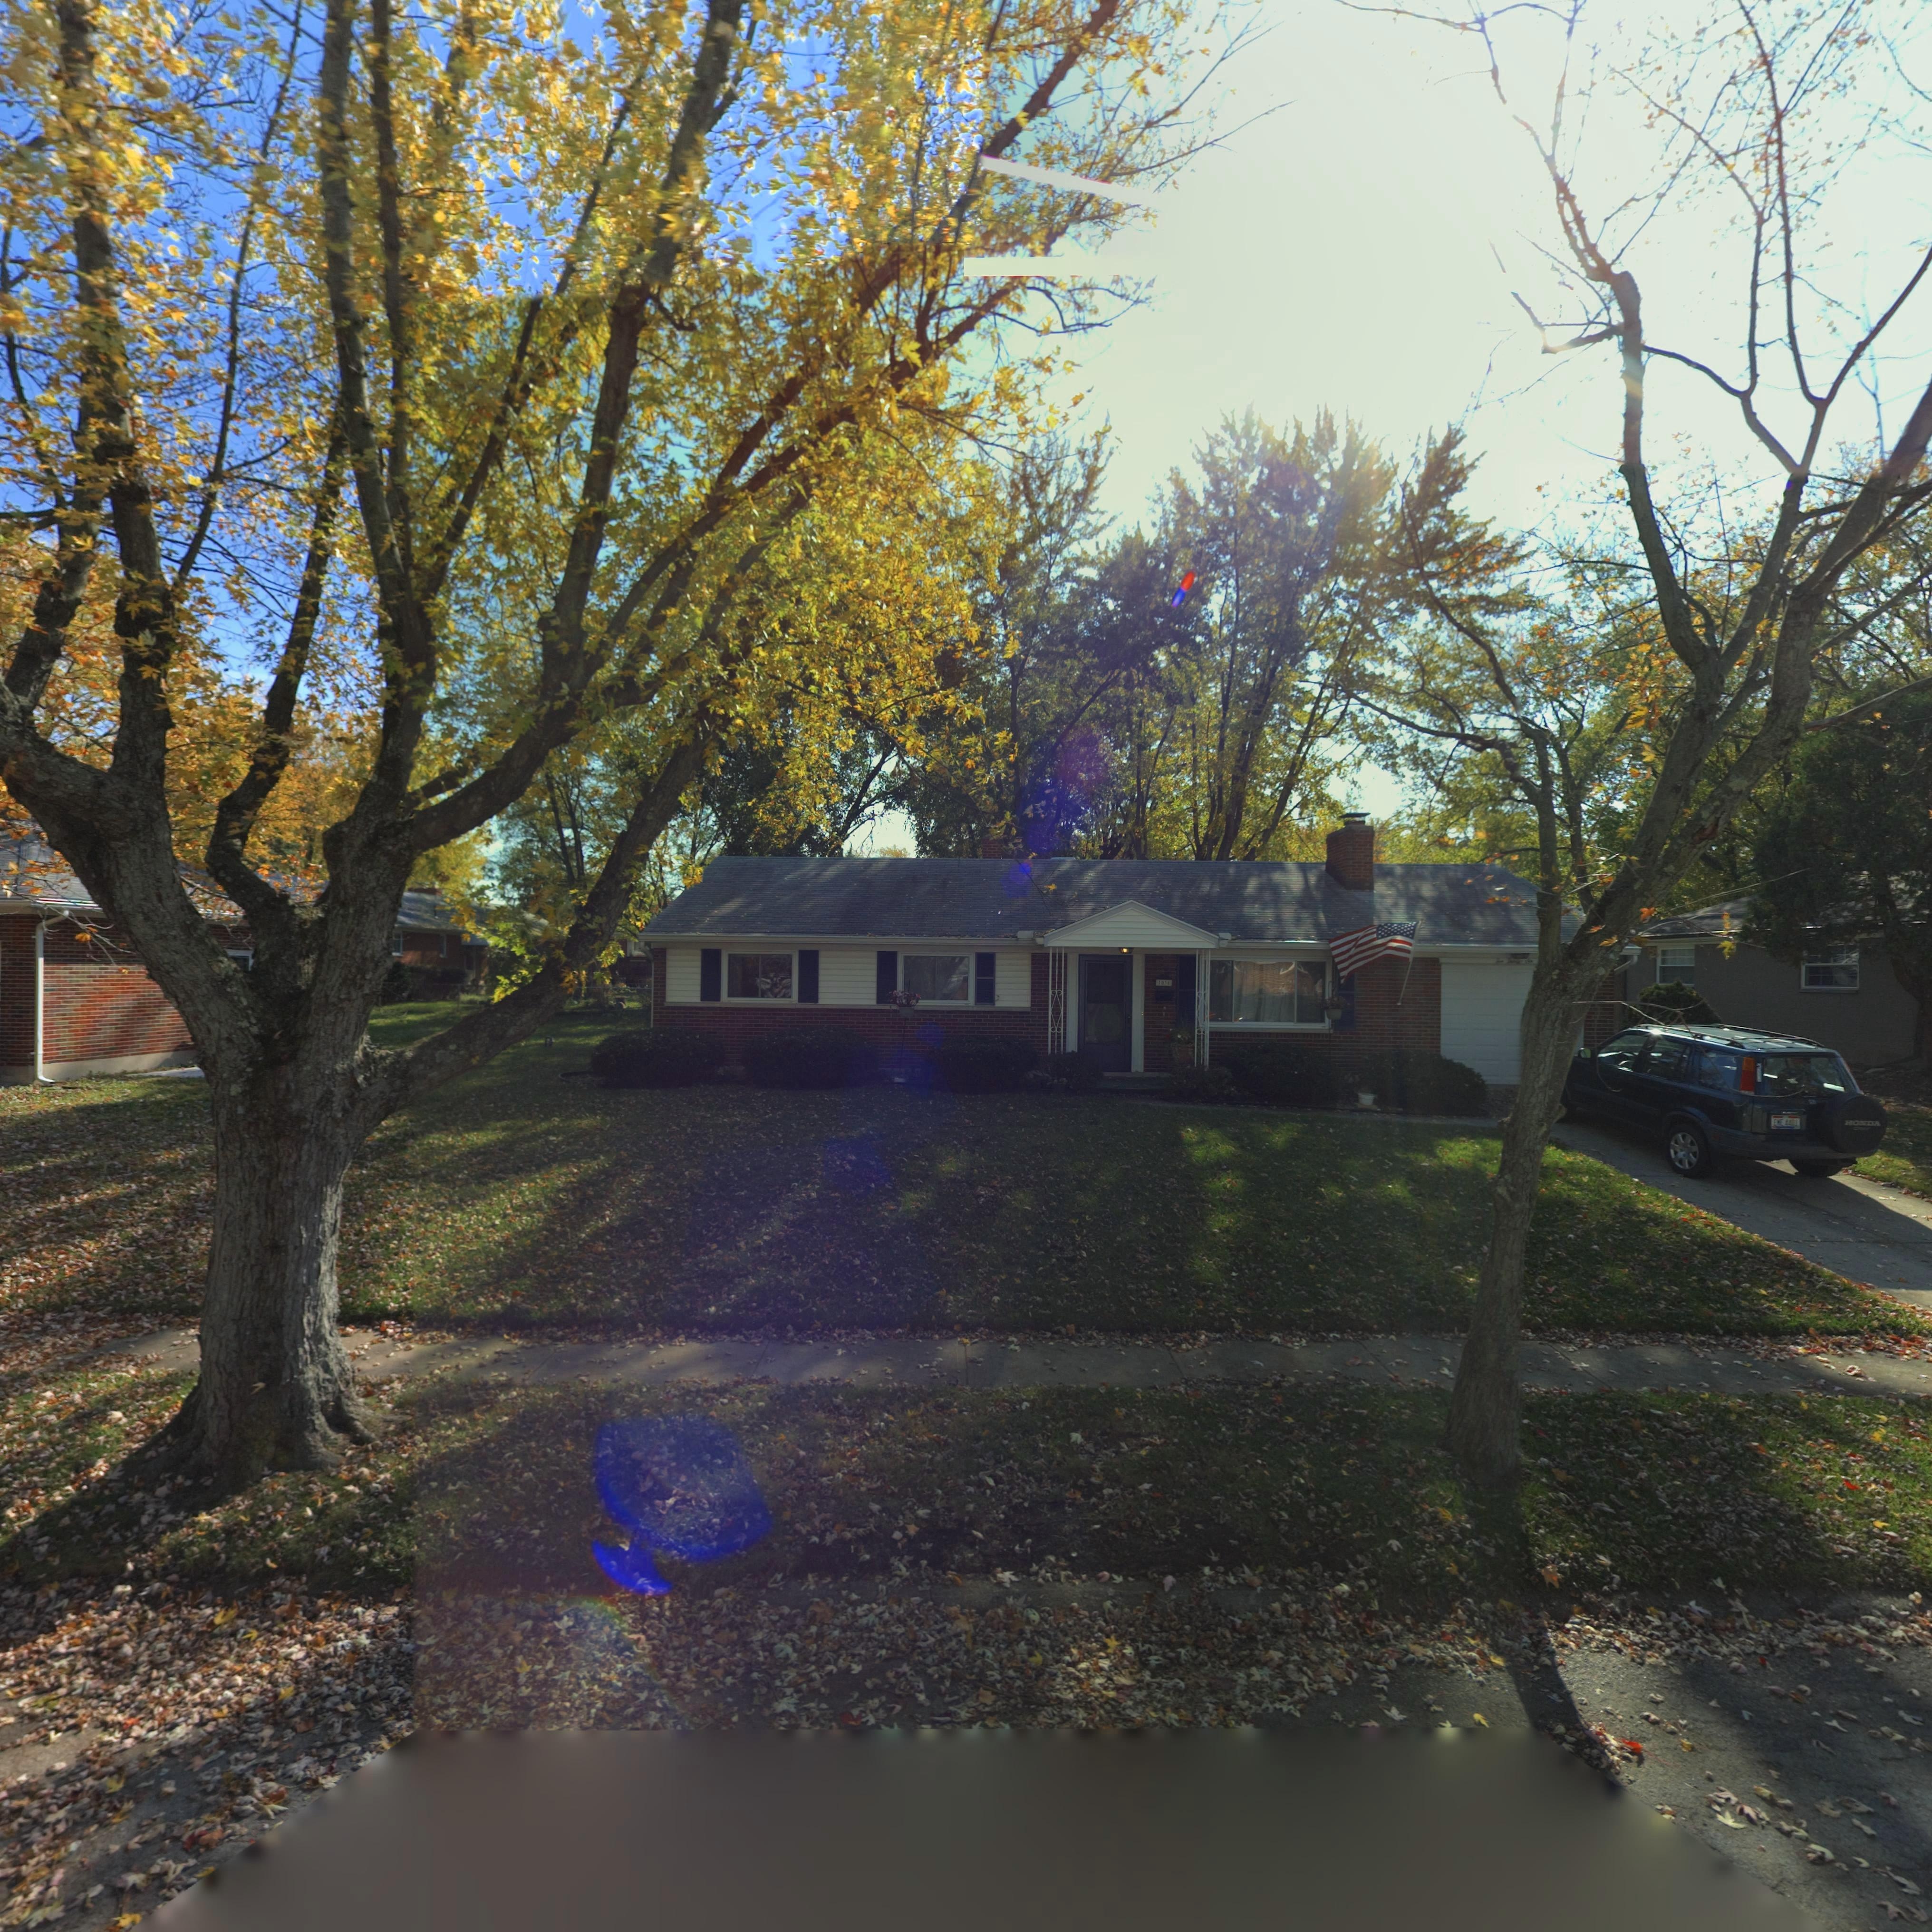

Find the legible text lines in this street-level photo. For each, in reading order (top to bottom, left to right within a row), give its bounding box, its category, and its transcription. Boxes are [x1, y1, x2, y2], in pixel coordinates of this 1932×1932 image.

[1158, 980, 1170, 985] StreetNumber: 1036